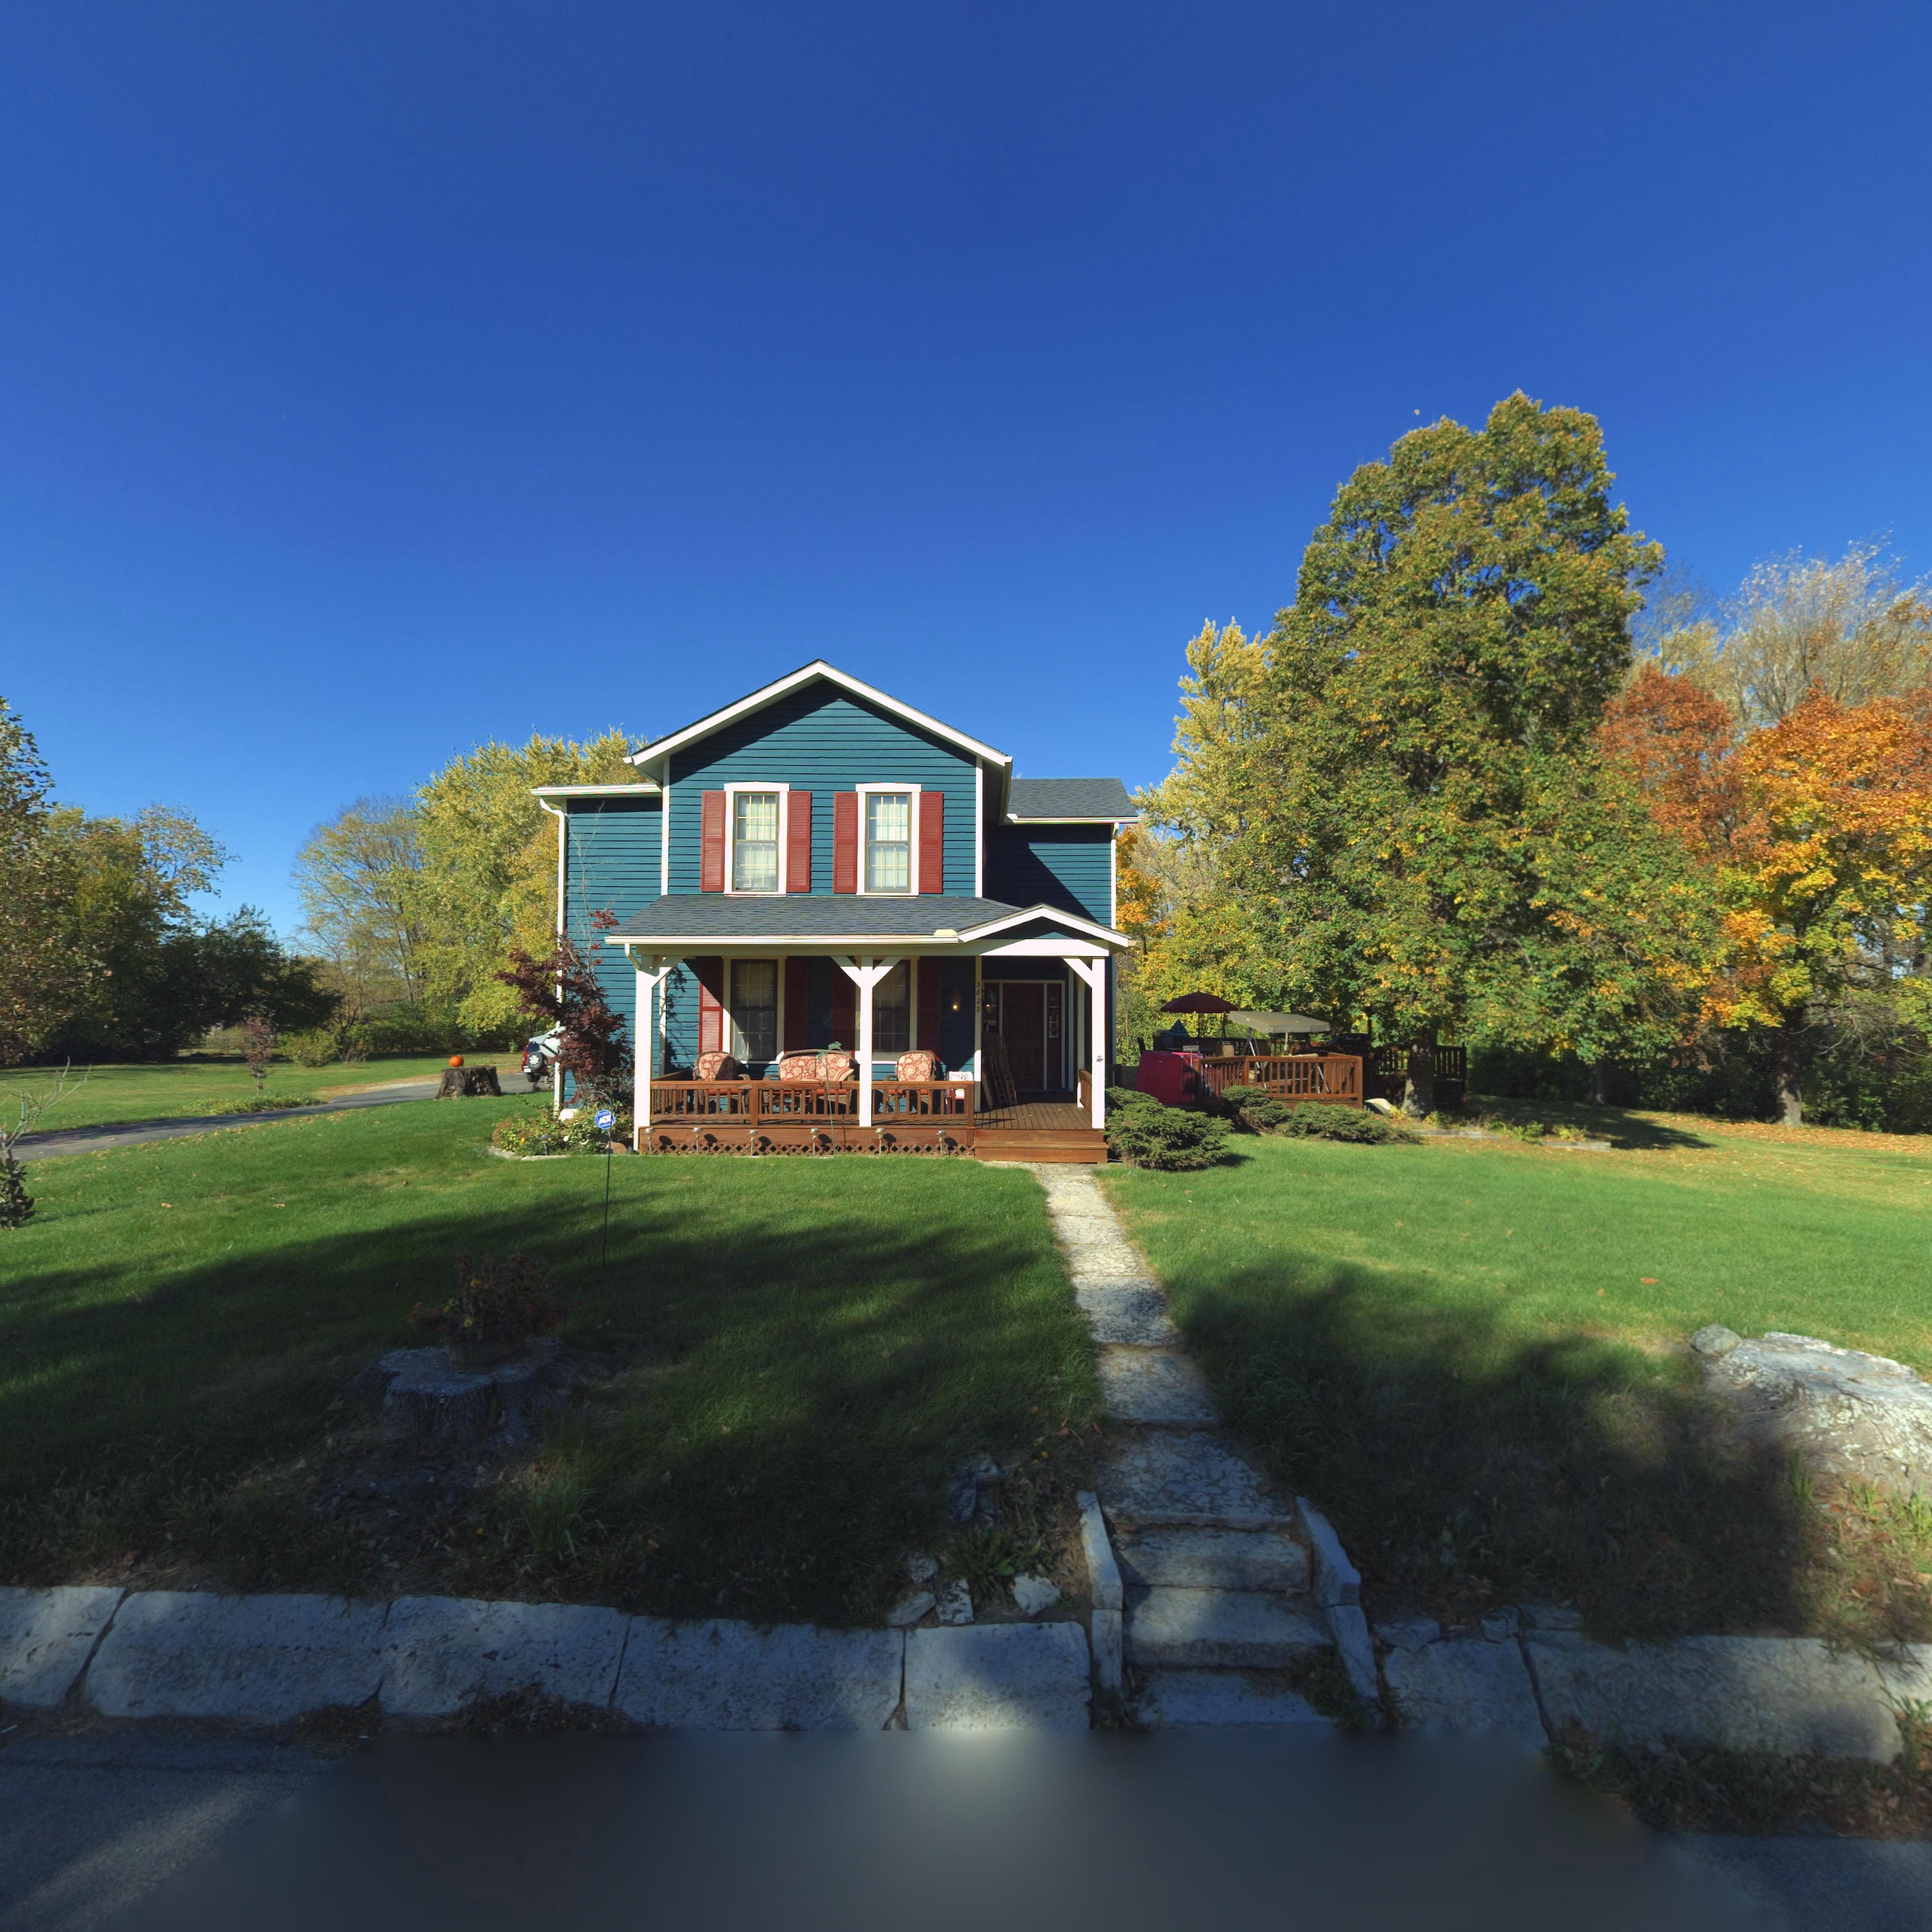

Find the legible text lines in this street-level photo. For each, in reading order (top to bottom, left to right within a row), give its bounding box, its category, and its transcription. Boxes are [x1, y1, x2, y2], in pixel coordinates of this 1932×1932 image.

[975, 981, 981, 1013] StreetNumber: 3823